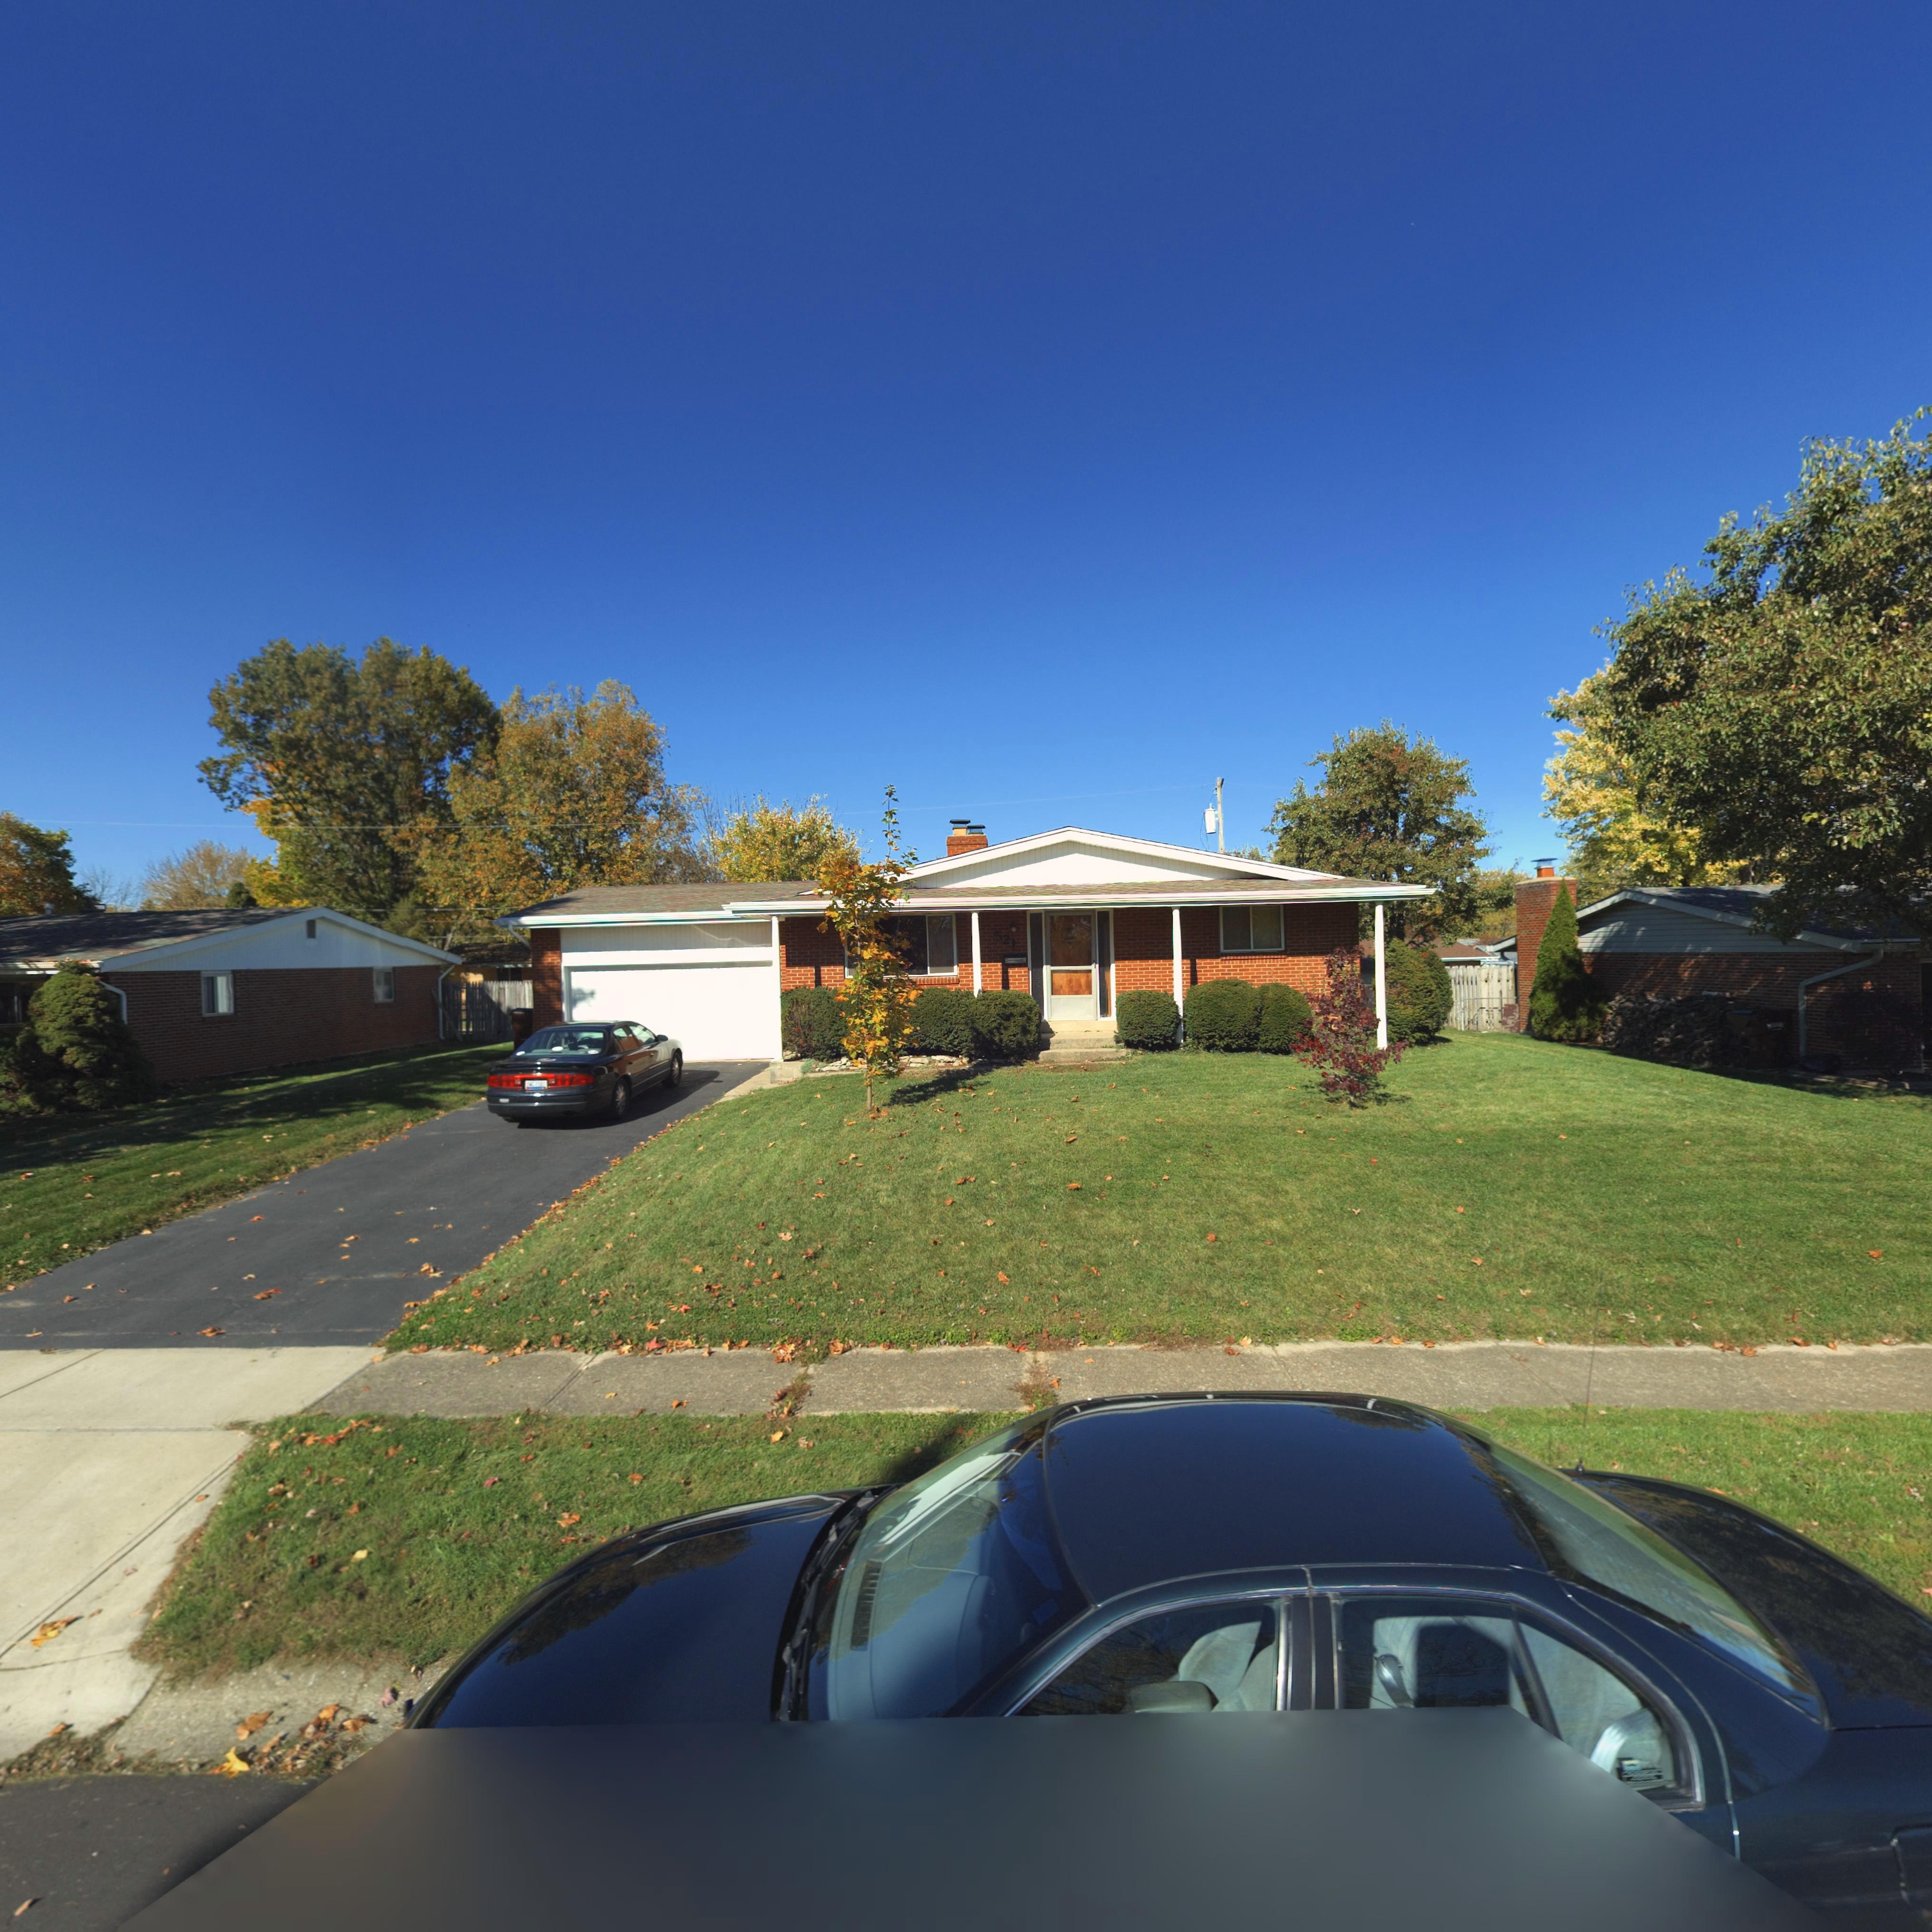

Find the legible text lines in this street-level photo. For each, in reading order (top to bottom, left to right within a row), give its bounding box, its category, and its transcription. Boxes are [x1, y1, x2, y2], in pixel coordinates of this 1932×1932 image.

[994, 929, 1016, 949] StreetNumber: 521